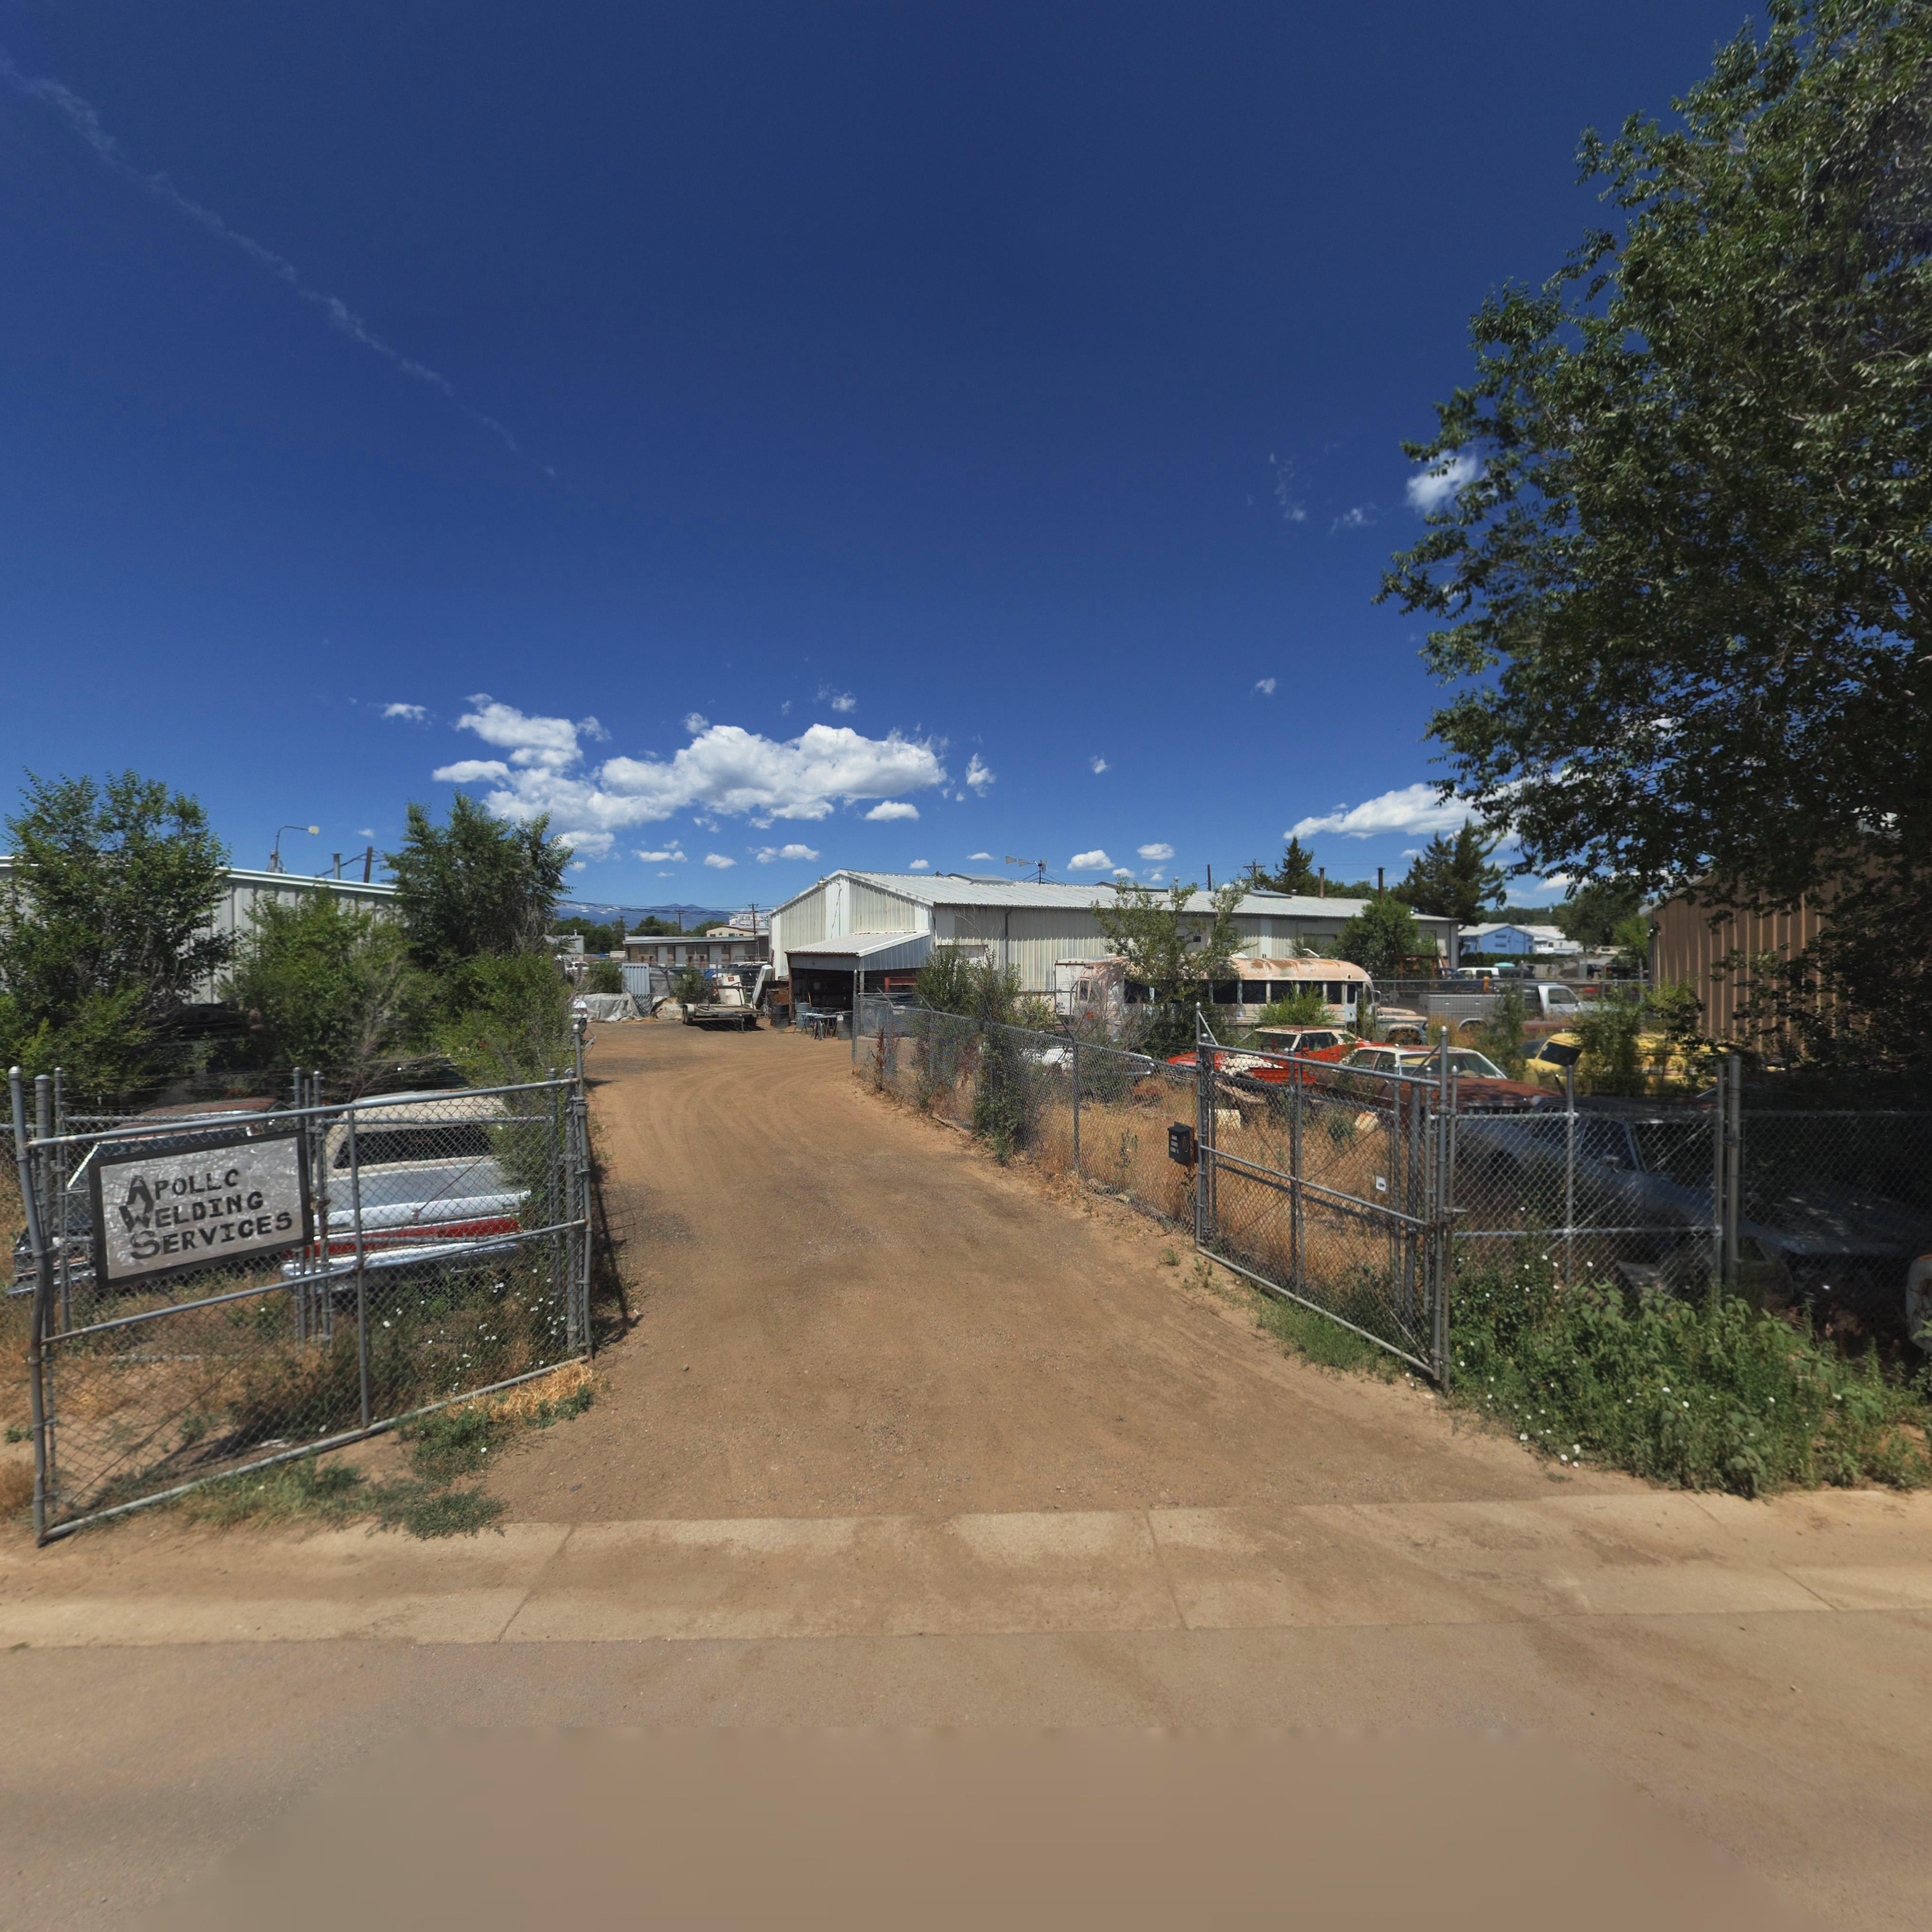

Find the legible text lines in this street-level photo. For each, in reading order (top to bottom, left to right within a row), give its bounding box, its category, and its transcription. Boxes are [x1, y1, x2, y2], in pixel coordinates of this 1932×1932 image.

[125, 1167, 242, 1203] BusinessName: APOLLC
[113, 1186, 268, 1233] BusinessName: WELDING
[125, 1206, 296, 1264] BusinessName: SERVICES